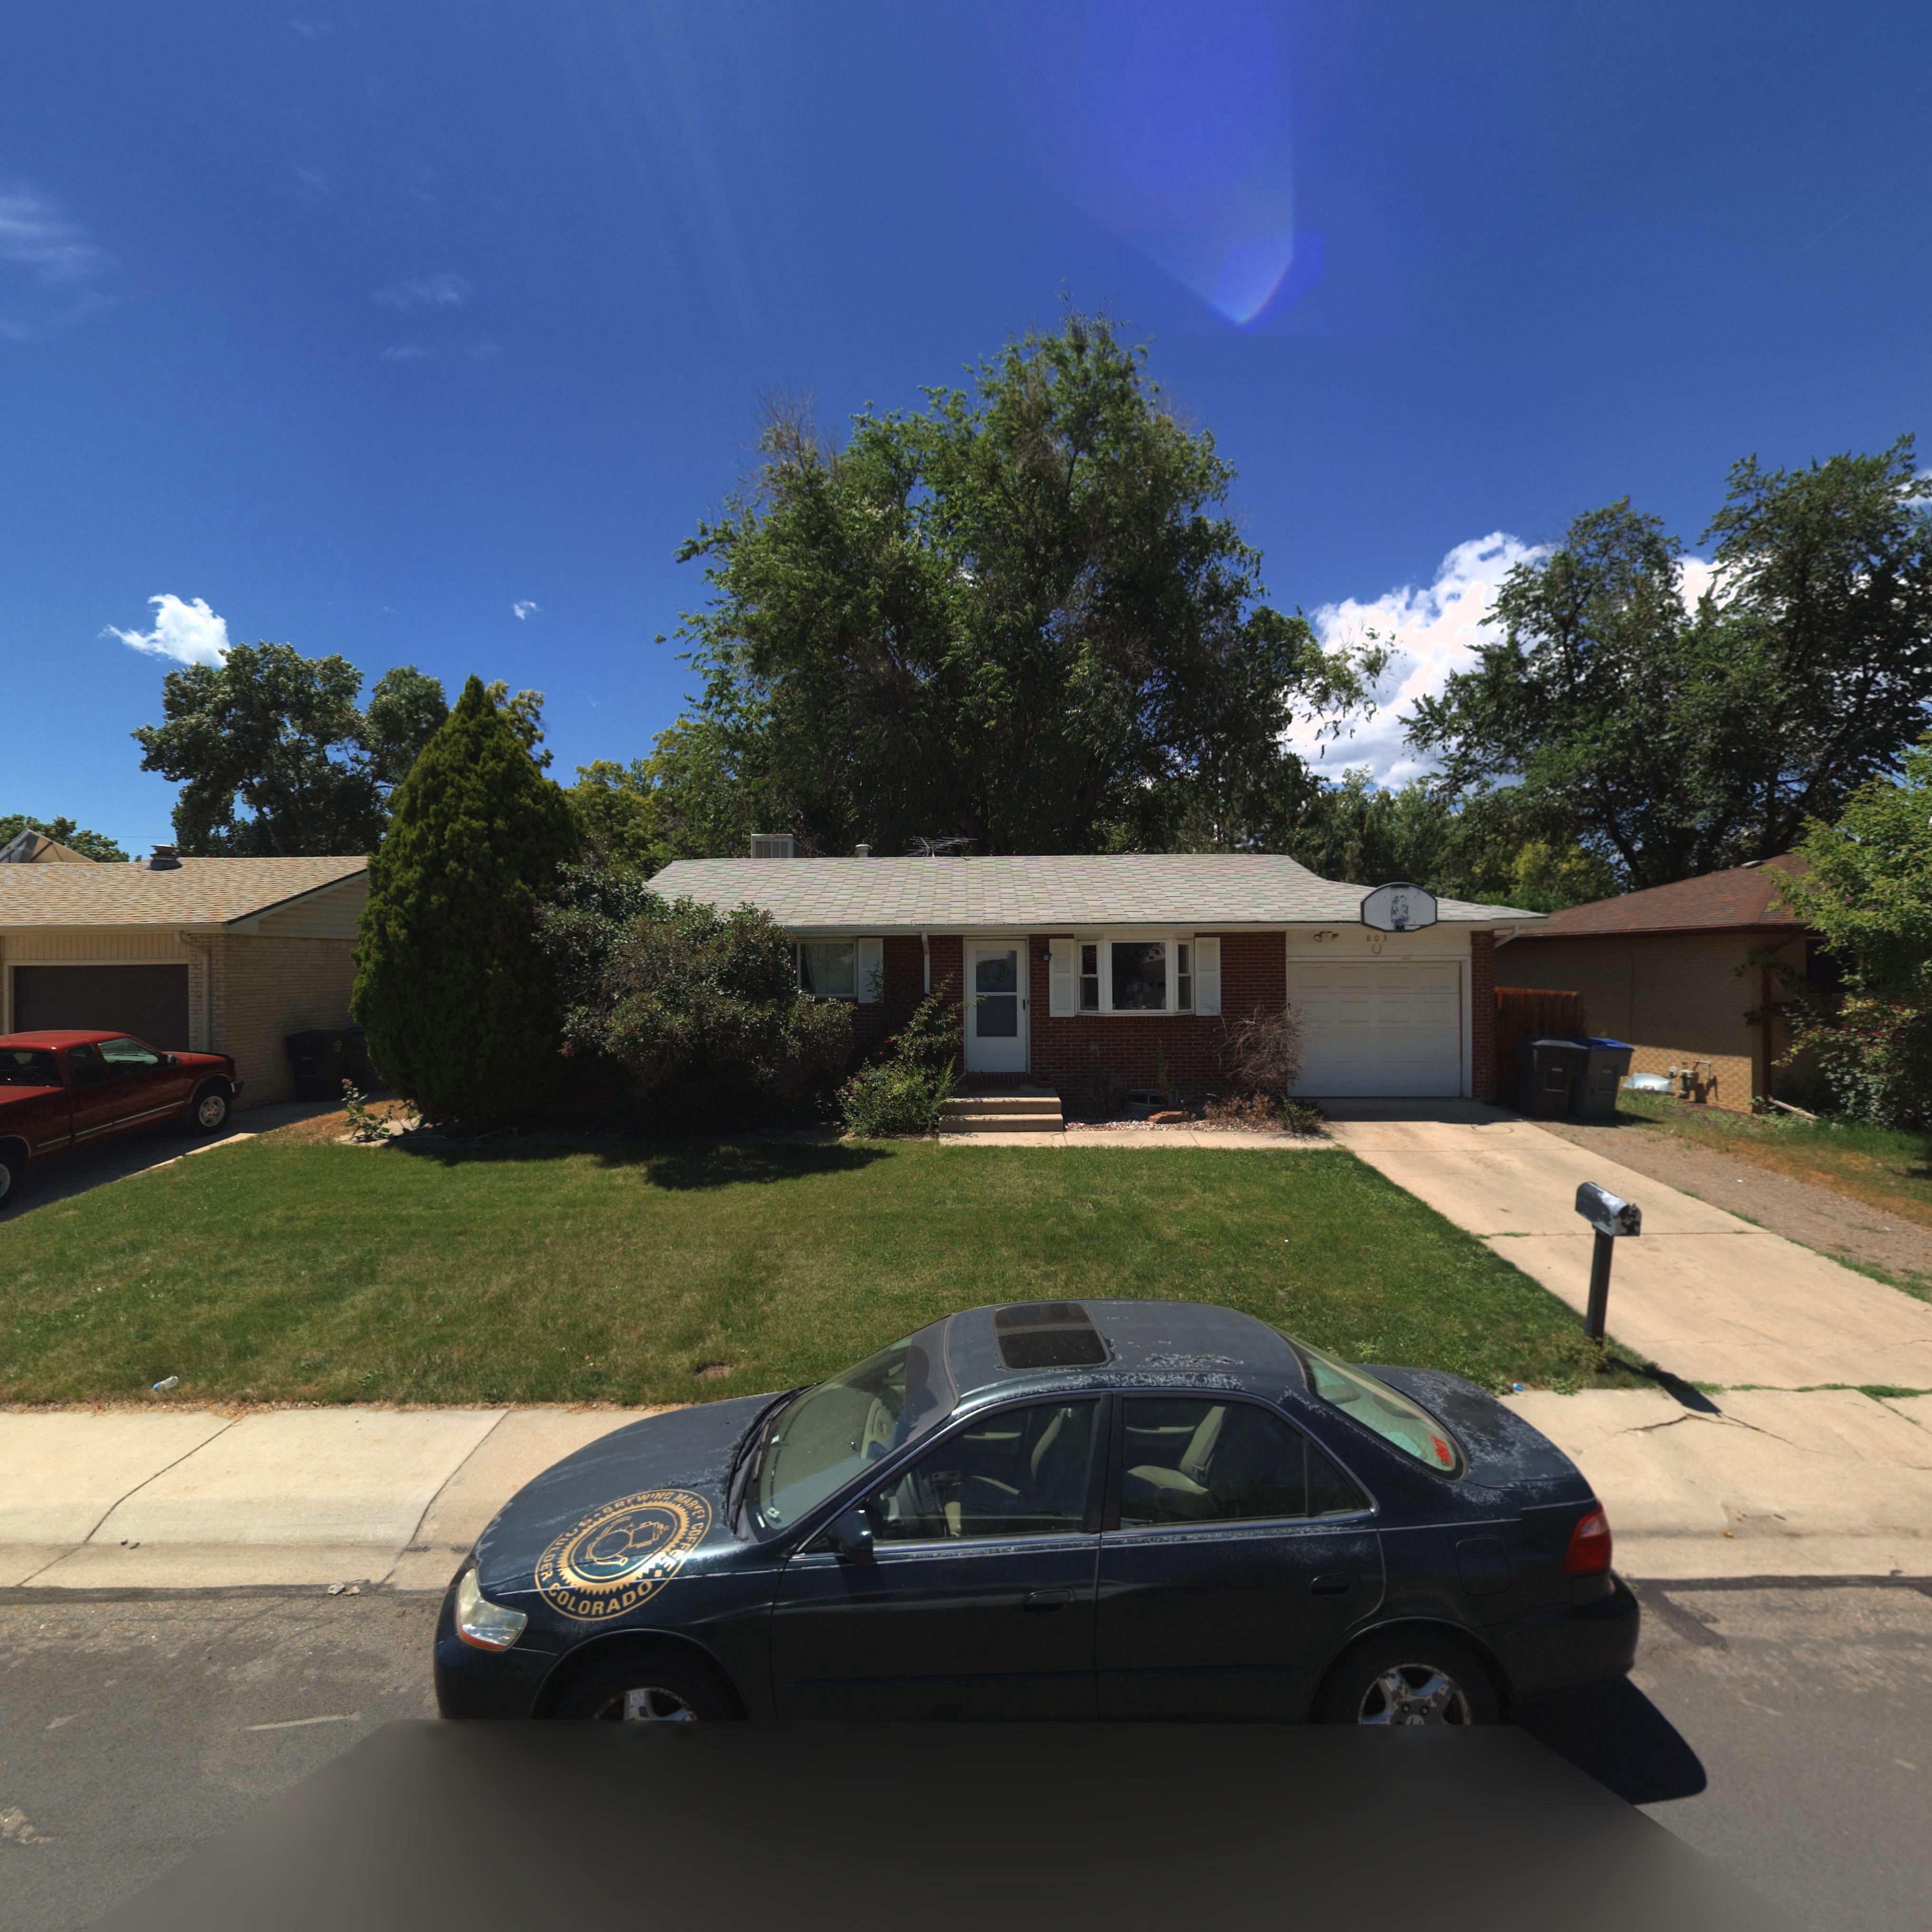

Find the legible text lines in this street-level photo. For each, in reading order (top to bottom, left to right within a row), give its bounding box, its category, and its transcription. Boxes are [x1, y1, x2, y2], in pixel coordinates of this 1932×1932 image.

[1366, 934, 1388, 942] StreetNumber: 803